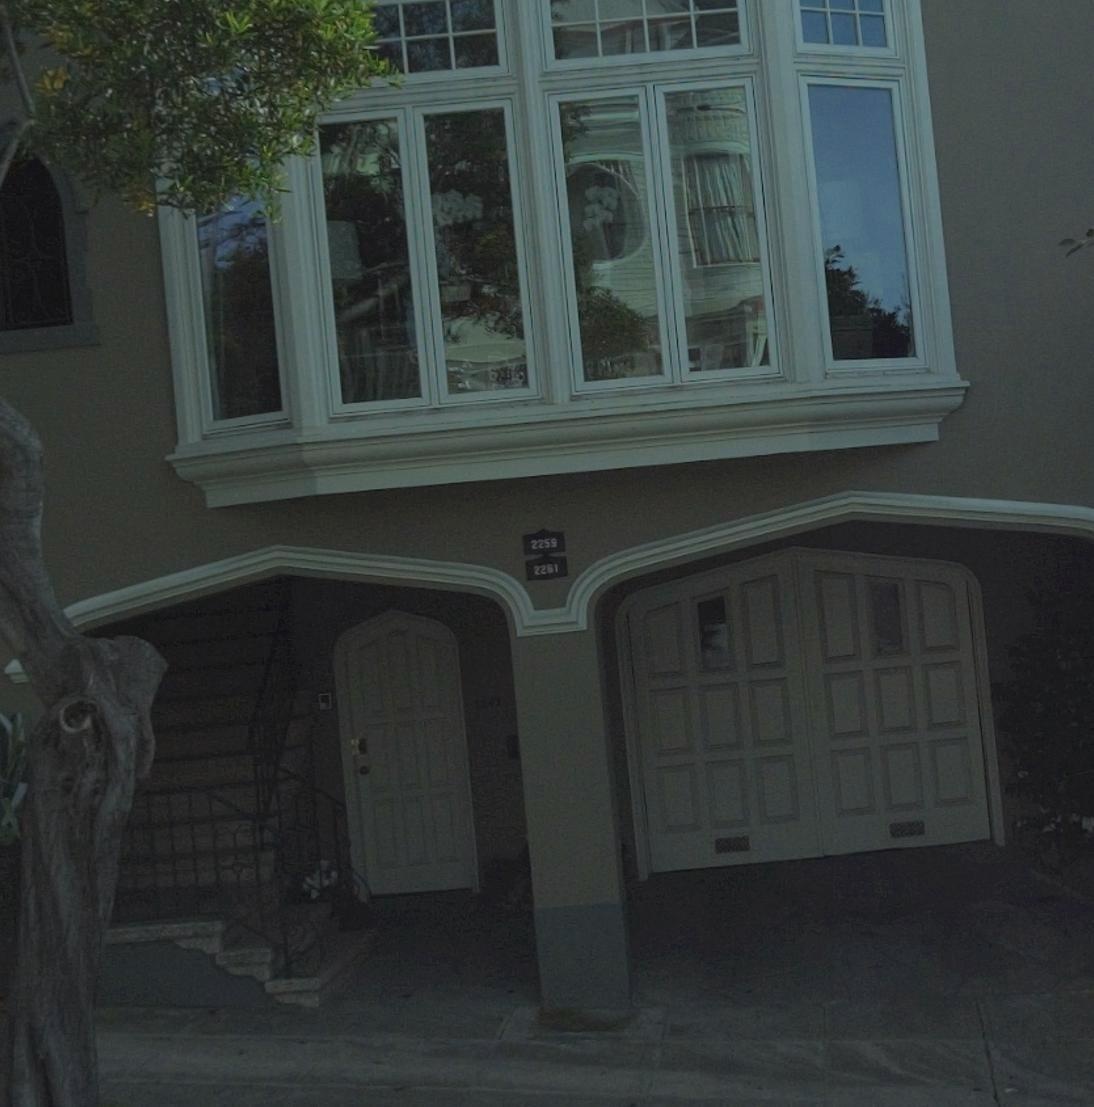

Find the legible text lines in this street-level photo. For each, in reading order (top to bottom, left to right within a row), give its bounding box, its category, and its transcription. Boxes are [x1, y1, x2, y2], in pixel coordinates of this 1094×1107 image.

[529, 536, 559, 551] StreetNumber: 2259
[532, 560, 560, 577] StreetNumber: 2261